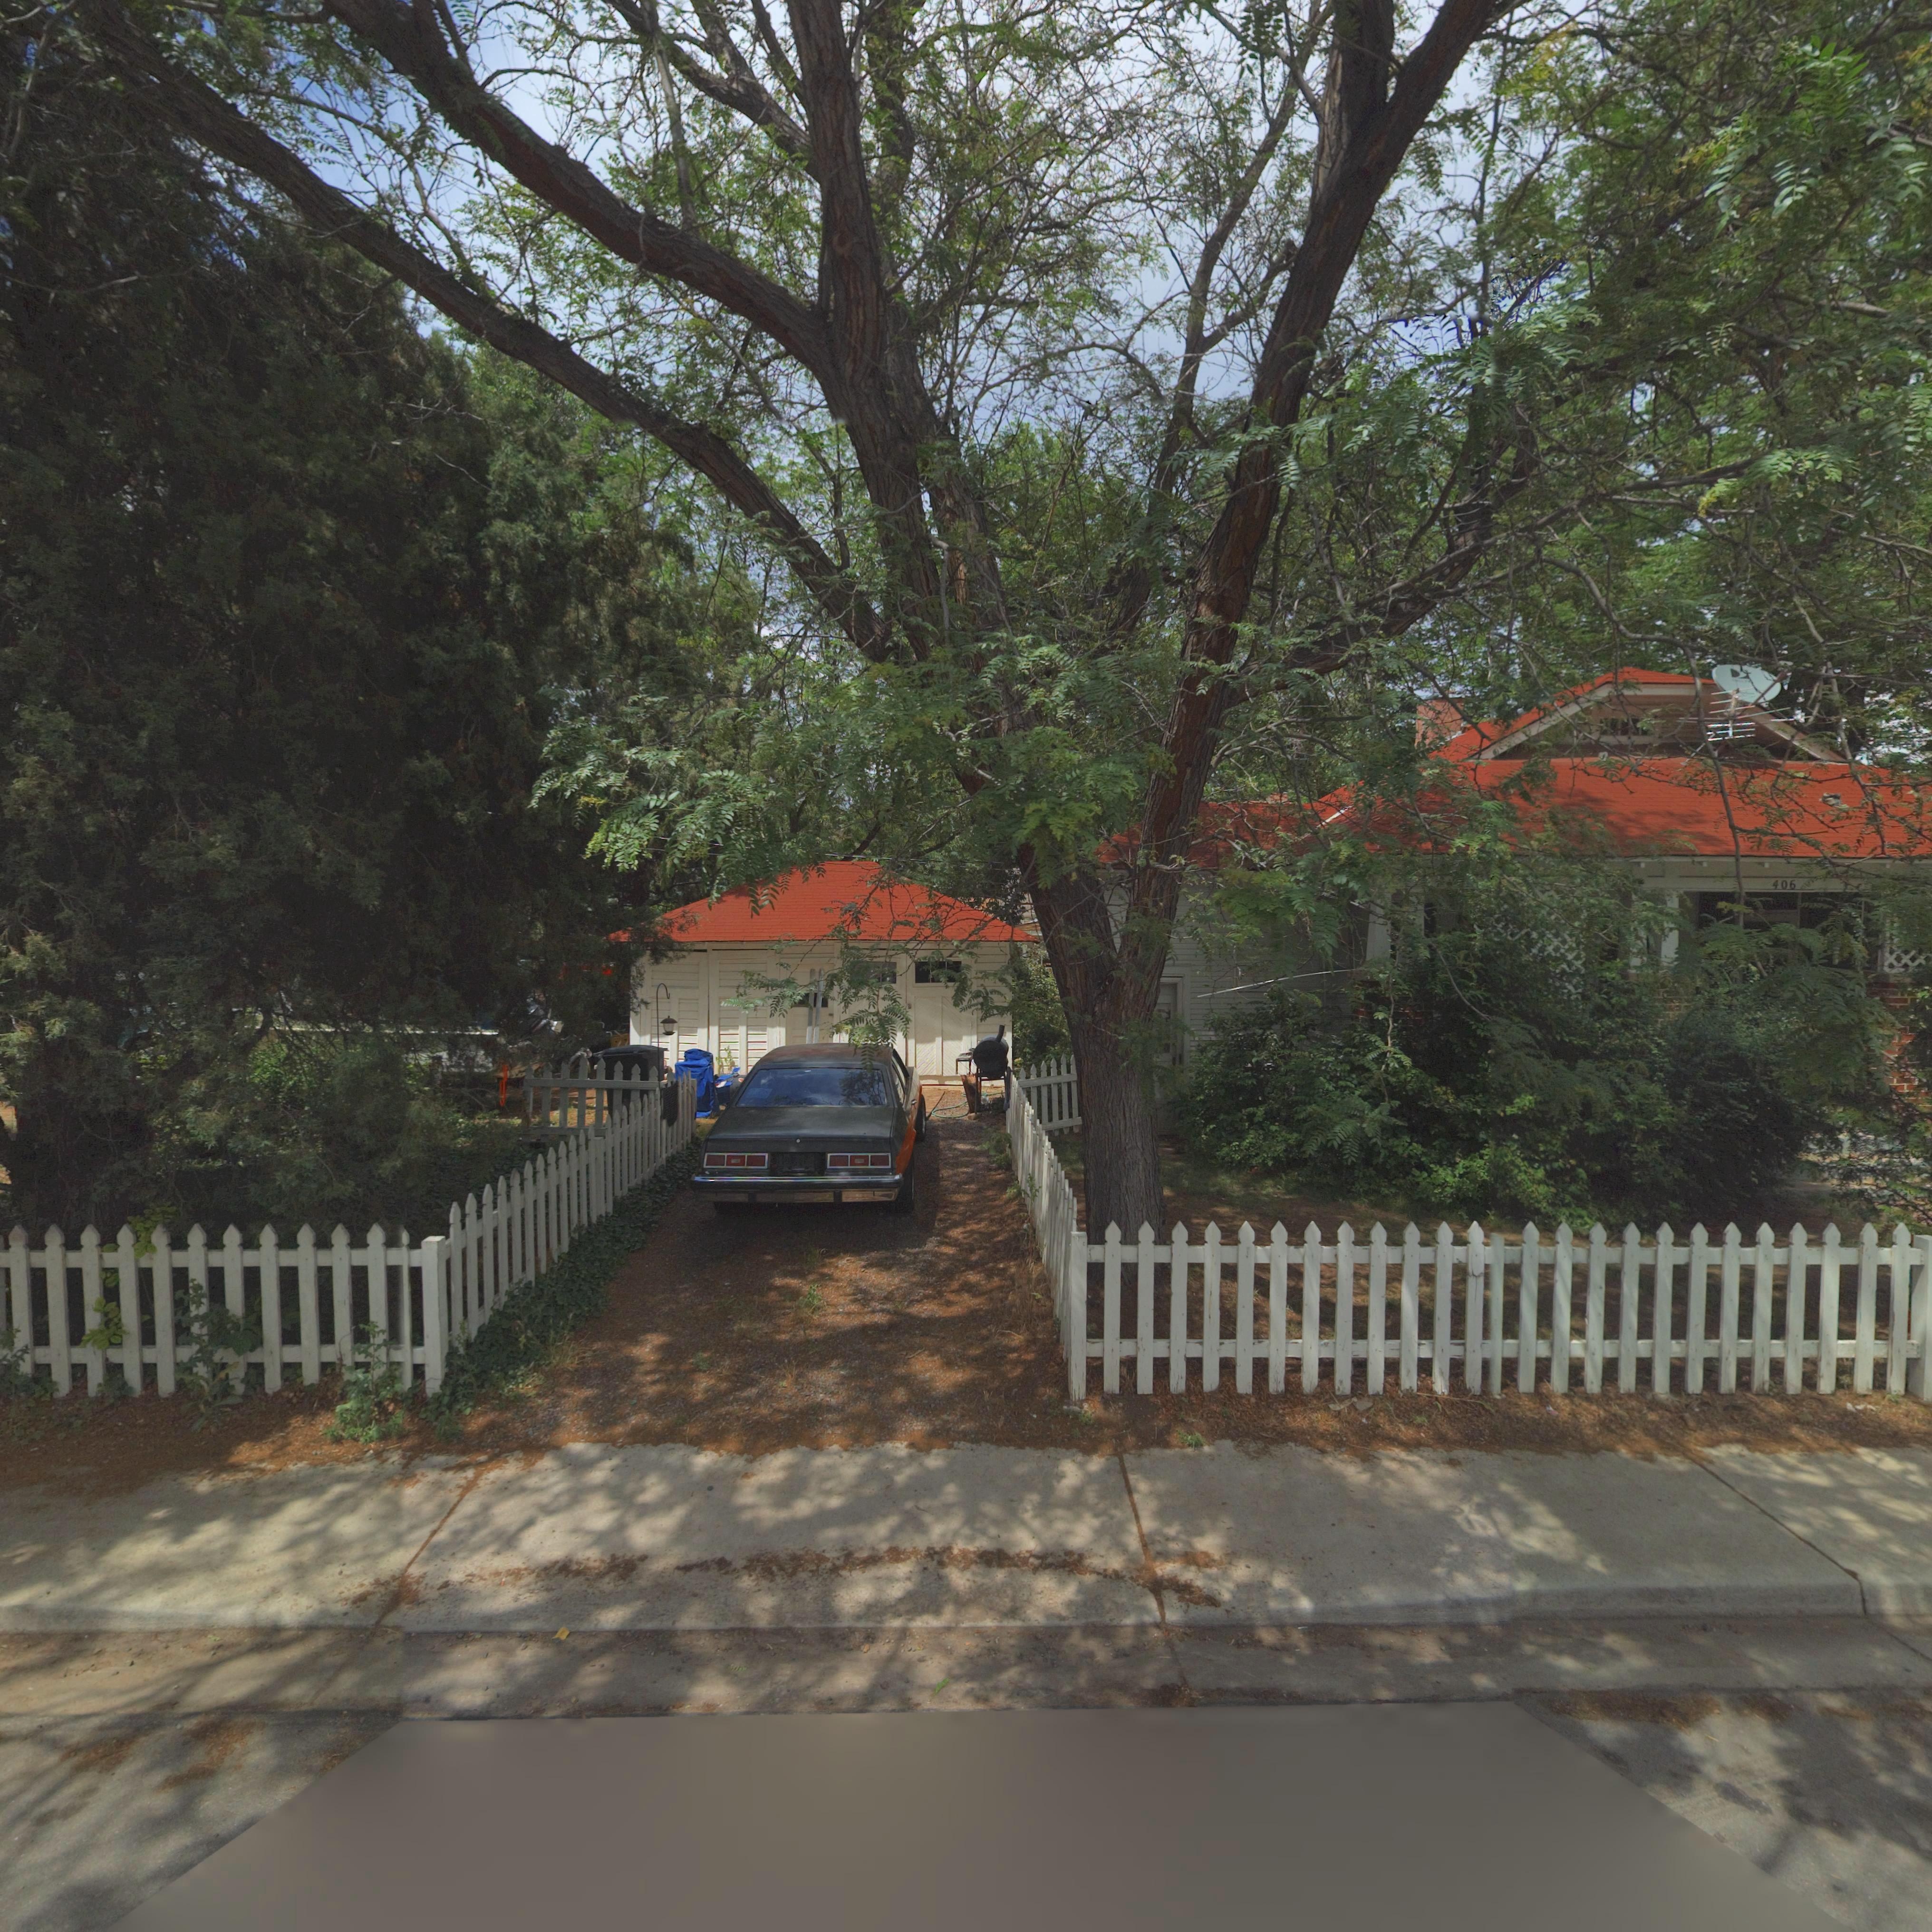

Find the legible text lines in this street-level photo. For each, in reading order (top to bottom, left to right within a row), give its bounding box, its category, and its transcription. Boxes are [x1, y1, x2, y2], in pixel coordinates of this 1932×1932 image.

[1773, 879, 1796, 889] StreetNumber: 406